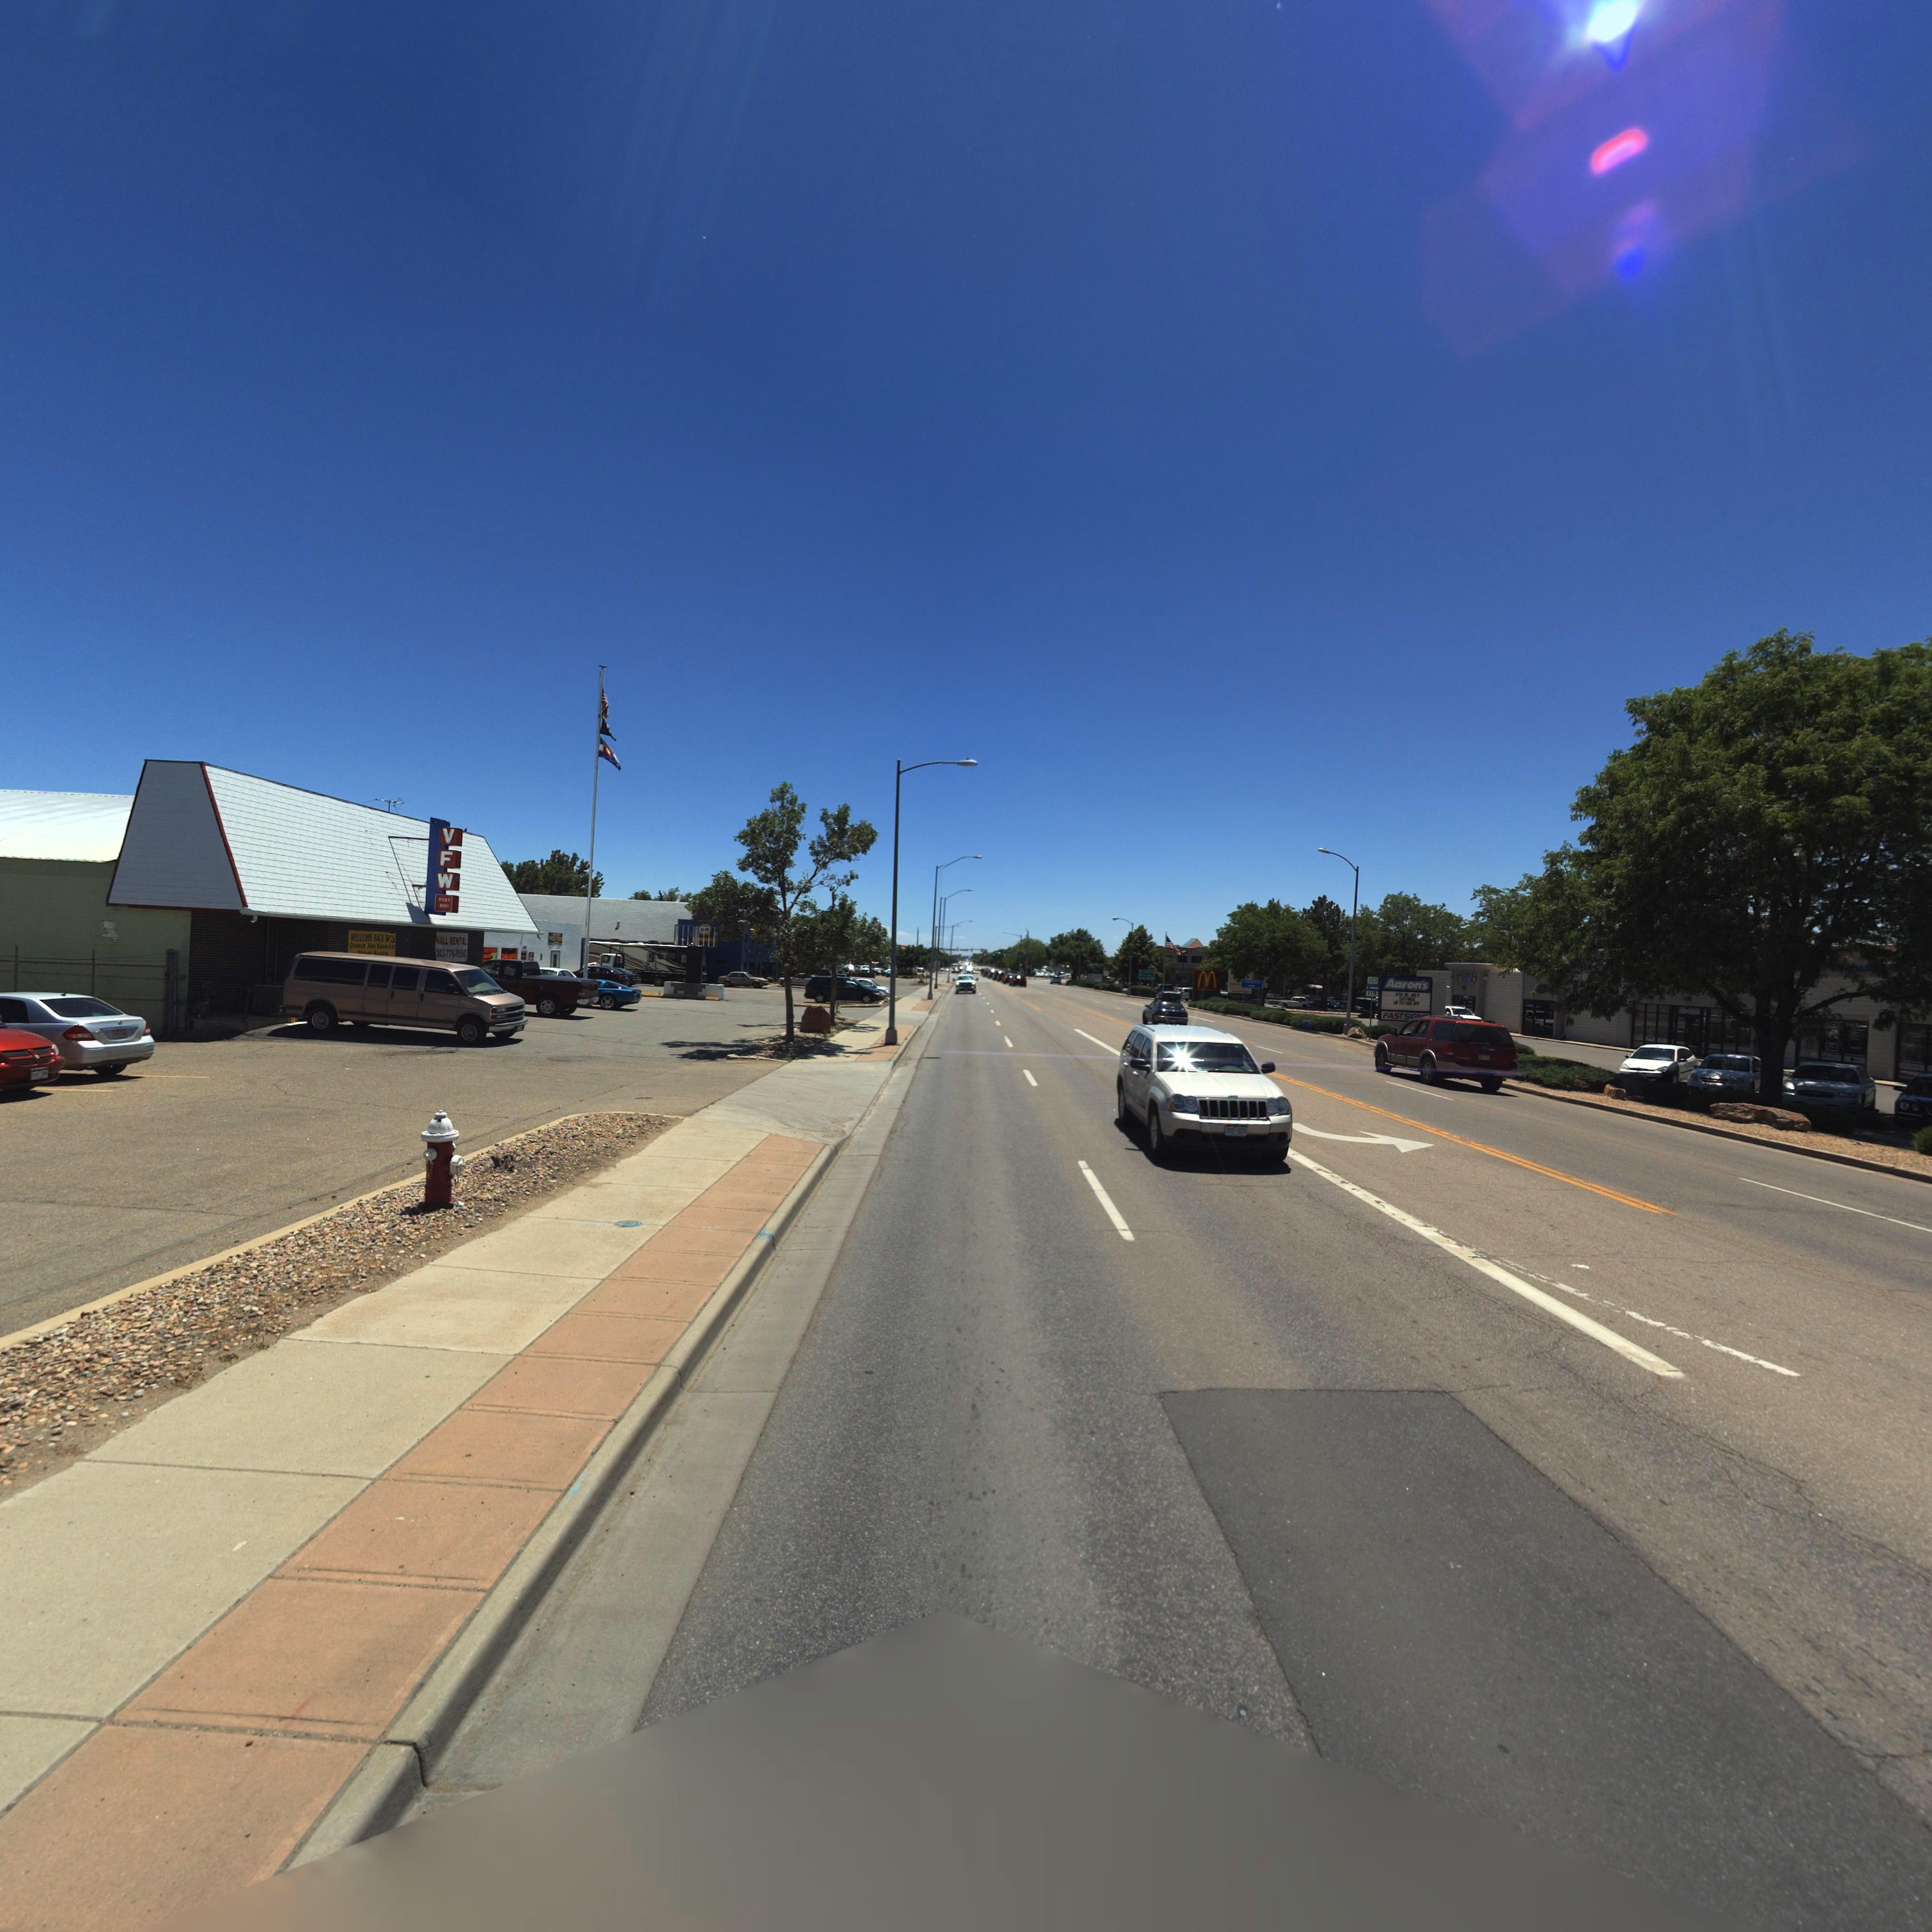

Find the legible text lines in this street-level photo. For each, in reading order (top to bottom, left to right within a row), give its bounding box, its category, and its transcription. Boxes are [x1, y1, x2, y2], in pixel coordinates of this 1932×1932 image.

[437, 828, 455, 889] BusinessName: VFW
[700, 927, 709, 932] BusinessName: *PA
[1449, 974, 1476, 982] BusinessName: FAST ****S
[1384, 978, 1429, 989] BusinessName: Aaron's
[1382, 1012, 1429, 1019] BusinessName: FAST SI***